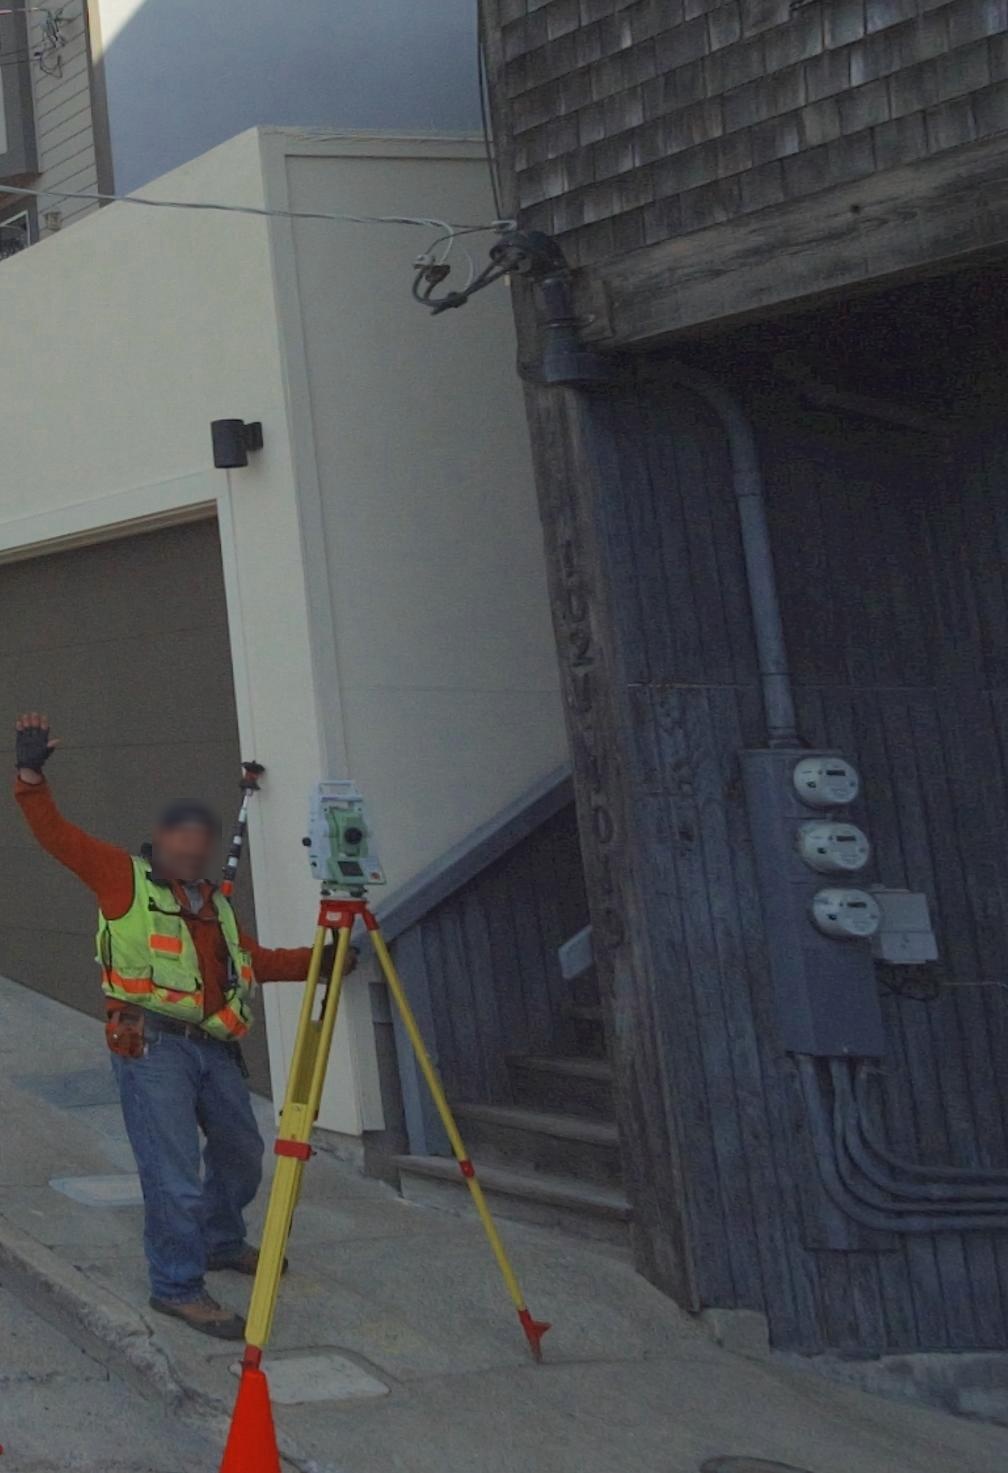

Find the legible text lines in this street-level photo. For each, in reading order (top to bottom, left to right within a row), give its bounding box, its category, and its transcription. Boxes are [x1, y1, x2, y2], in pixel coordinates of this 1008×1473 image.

[558, 536, 597, 714] StreetNumber: 1021
[584, 750, 627, 952] StreetNumber: 1019